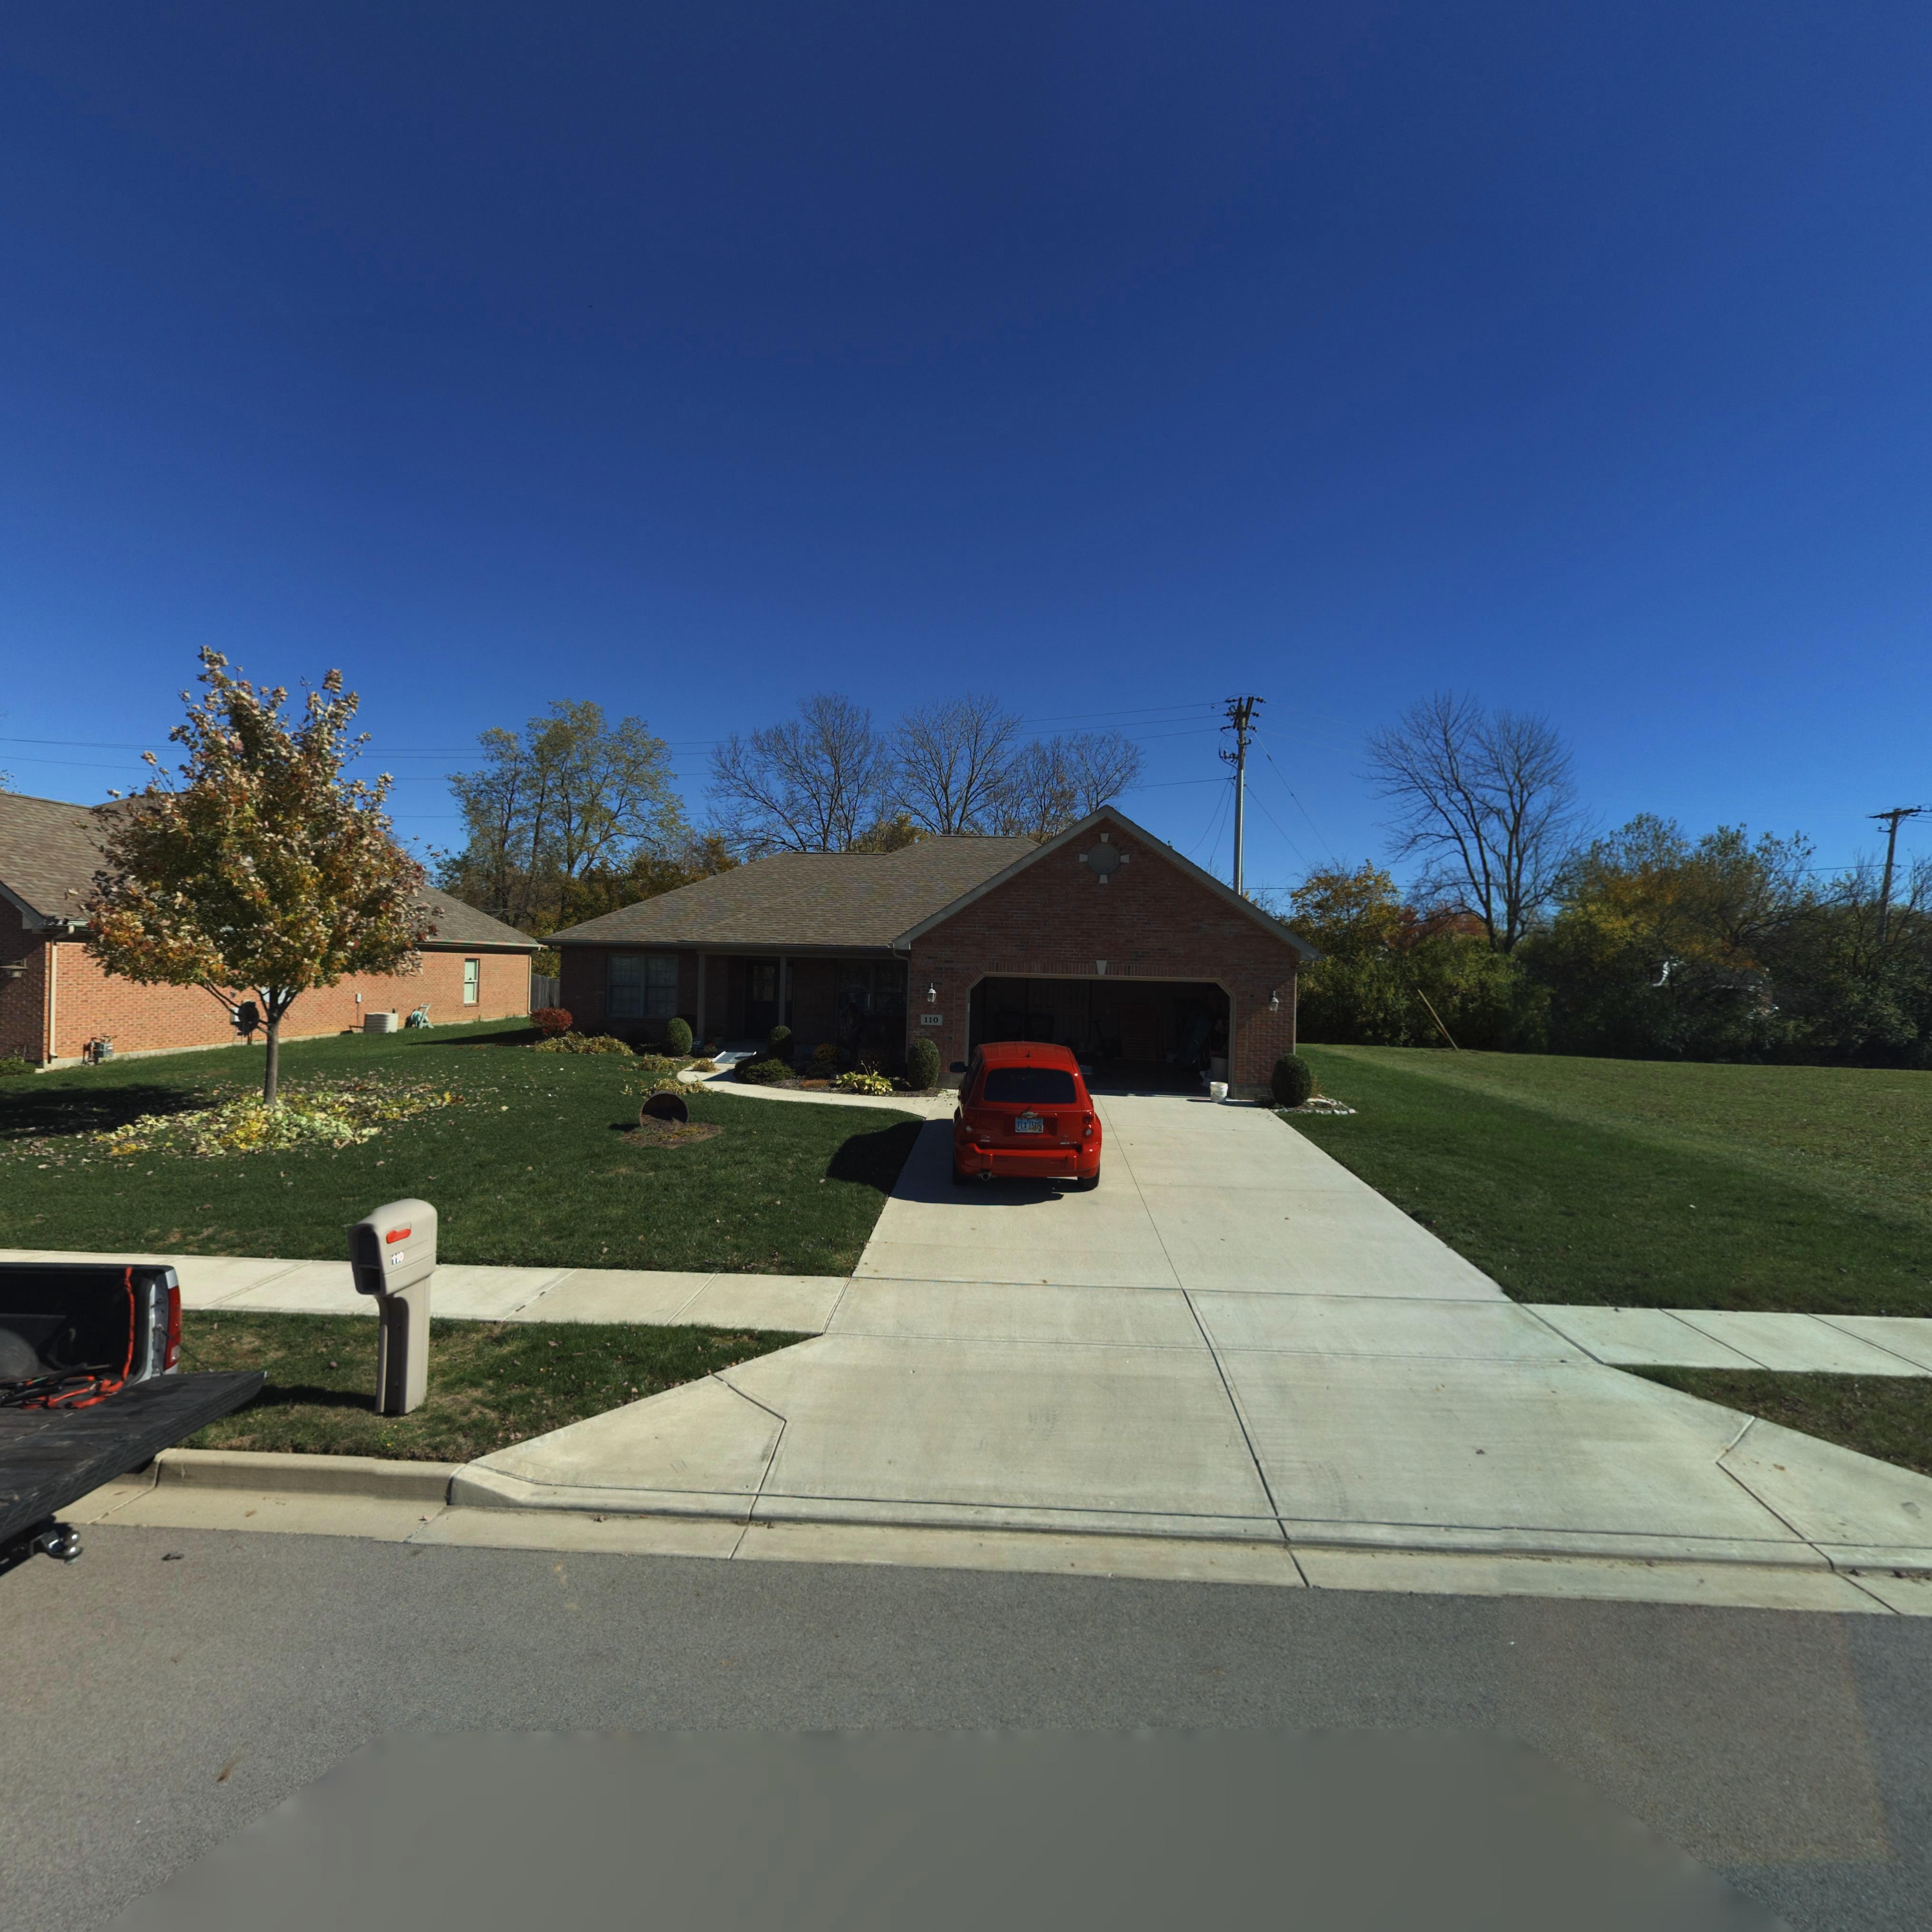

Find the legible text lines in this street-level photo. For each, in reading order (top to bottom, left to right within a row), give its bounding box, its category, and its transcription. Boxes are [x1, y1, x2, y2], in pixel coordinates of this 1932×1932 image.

[923, 1016, 939, 1024] StreetNumber: 110
[390, 1250, 405, 1266] StreetNumber: 110